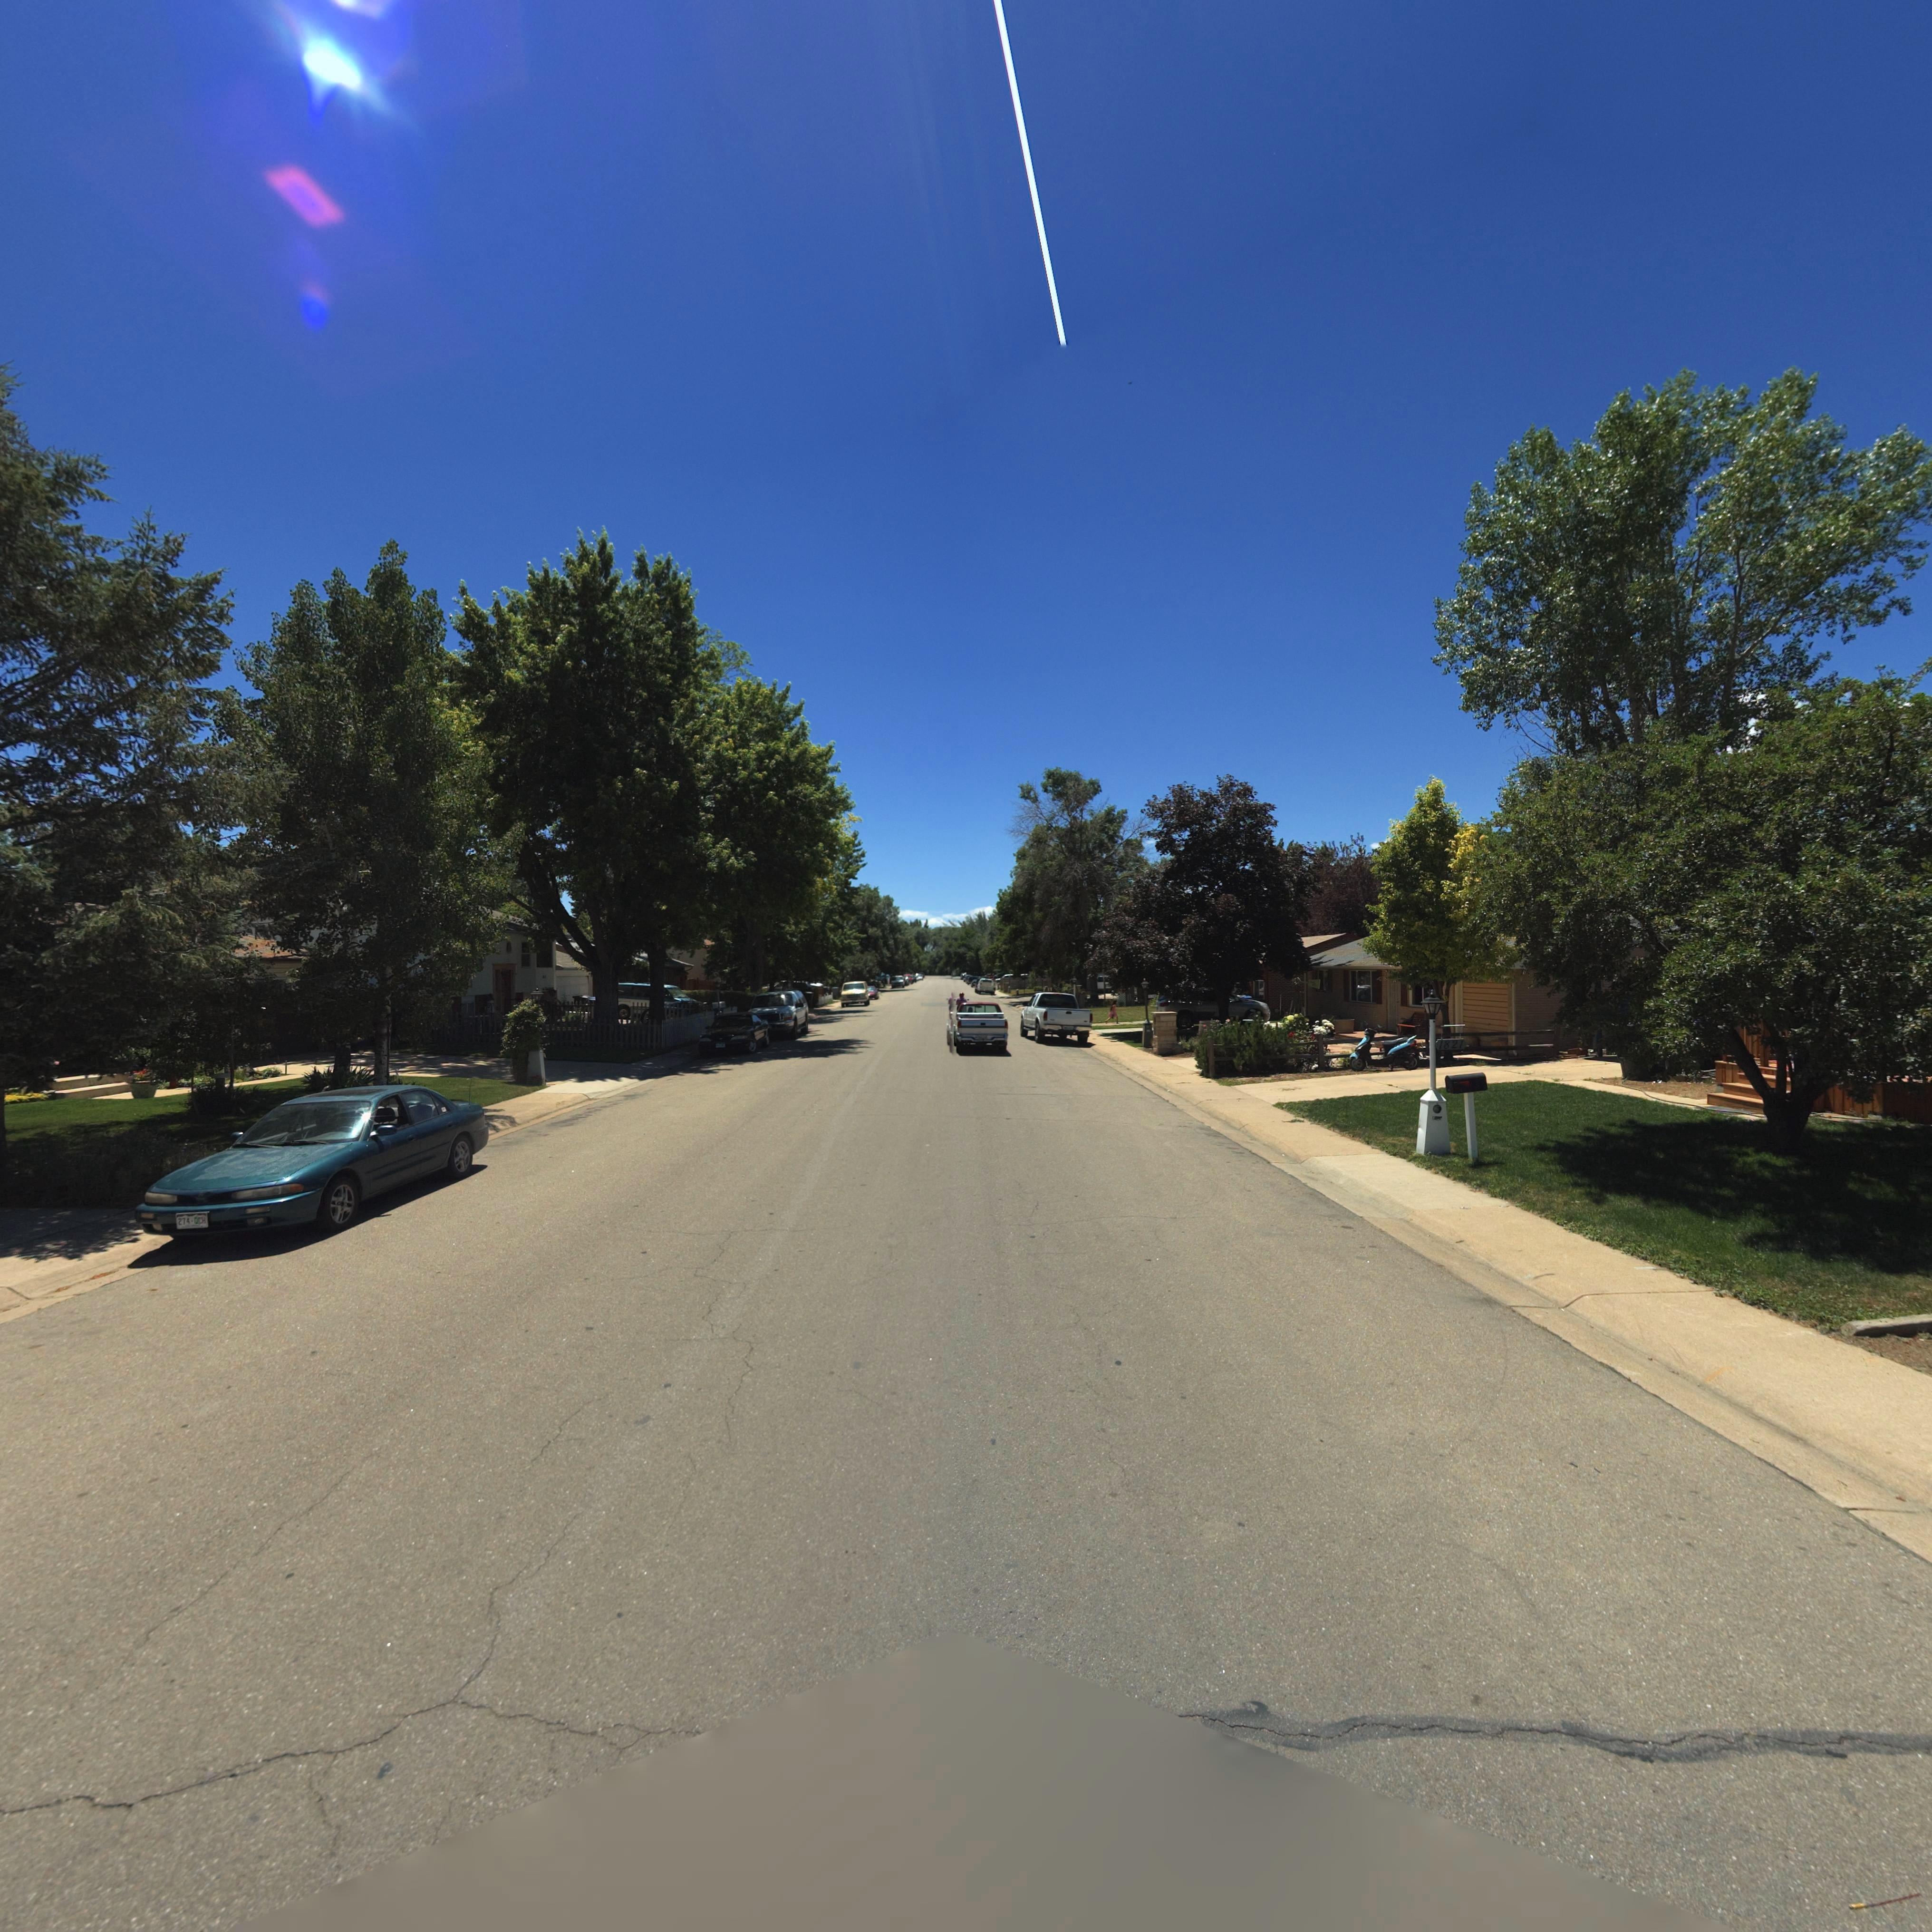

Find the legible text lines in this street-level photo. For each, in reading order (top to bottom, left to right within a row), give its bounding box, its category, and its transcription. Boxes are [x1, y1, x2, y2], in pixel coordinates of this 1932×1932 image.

[1438, 1039, 1465, 1049] StreetNumber: 1827